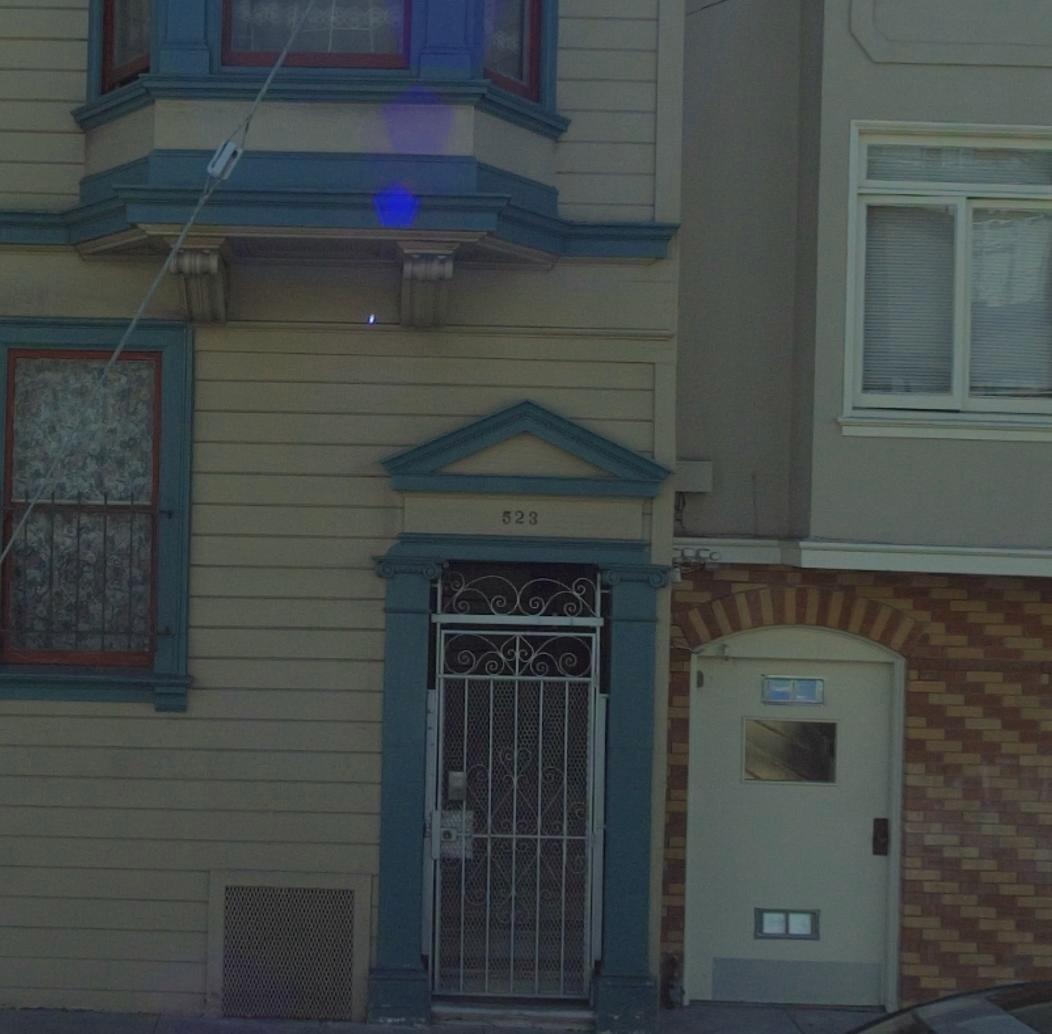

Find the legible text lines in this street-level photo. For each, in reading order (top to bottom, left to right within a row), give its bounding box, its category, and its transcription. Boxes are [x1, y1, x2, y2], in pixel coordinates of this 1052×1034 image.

[500, 506, 544, 529] StreetNumber: 523